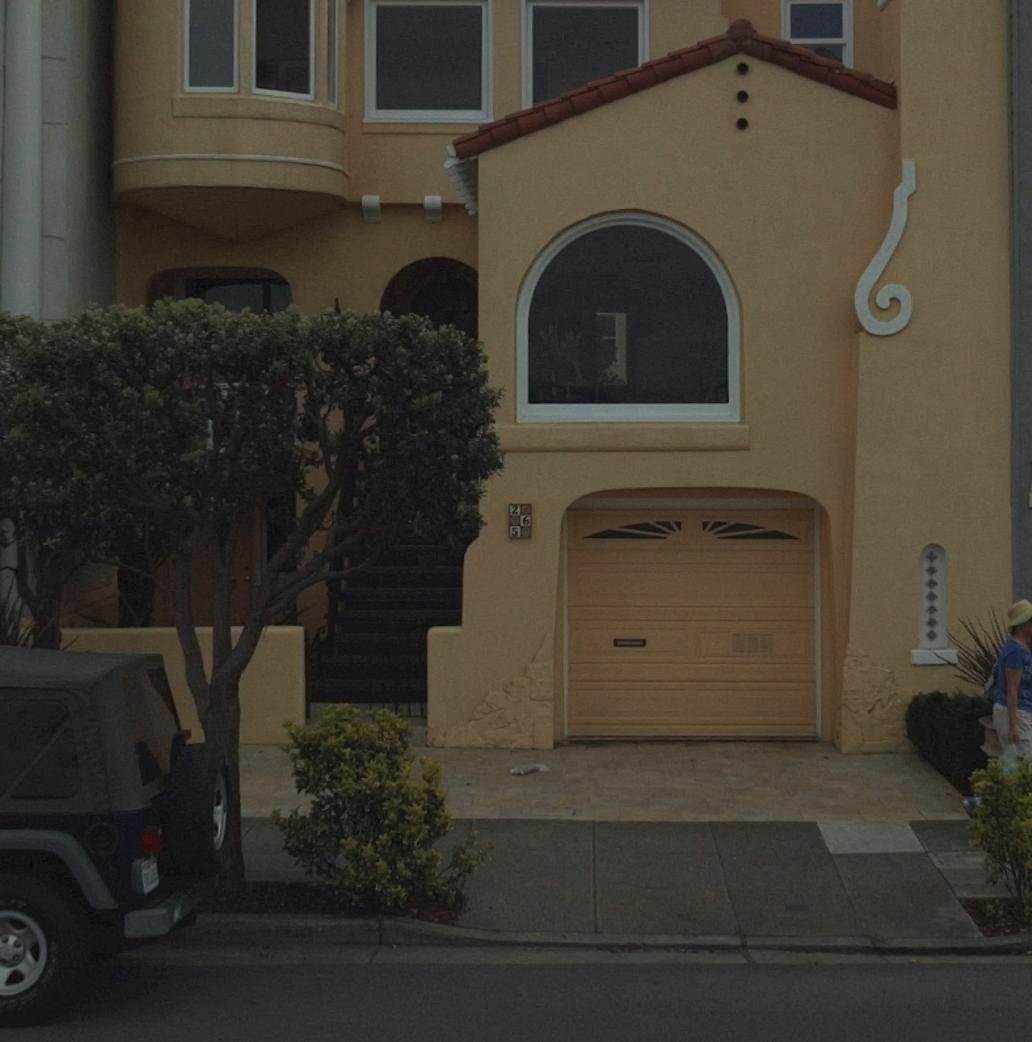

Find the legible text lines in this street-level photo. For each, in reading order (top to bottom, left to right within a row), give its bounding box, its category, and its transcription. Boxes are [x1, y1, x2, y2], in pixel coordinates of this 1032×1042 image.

[510, 504, 530, 538] StreetNumber: 265